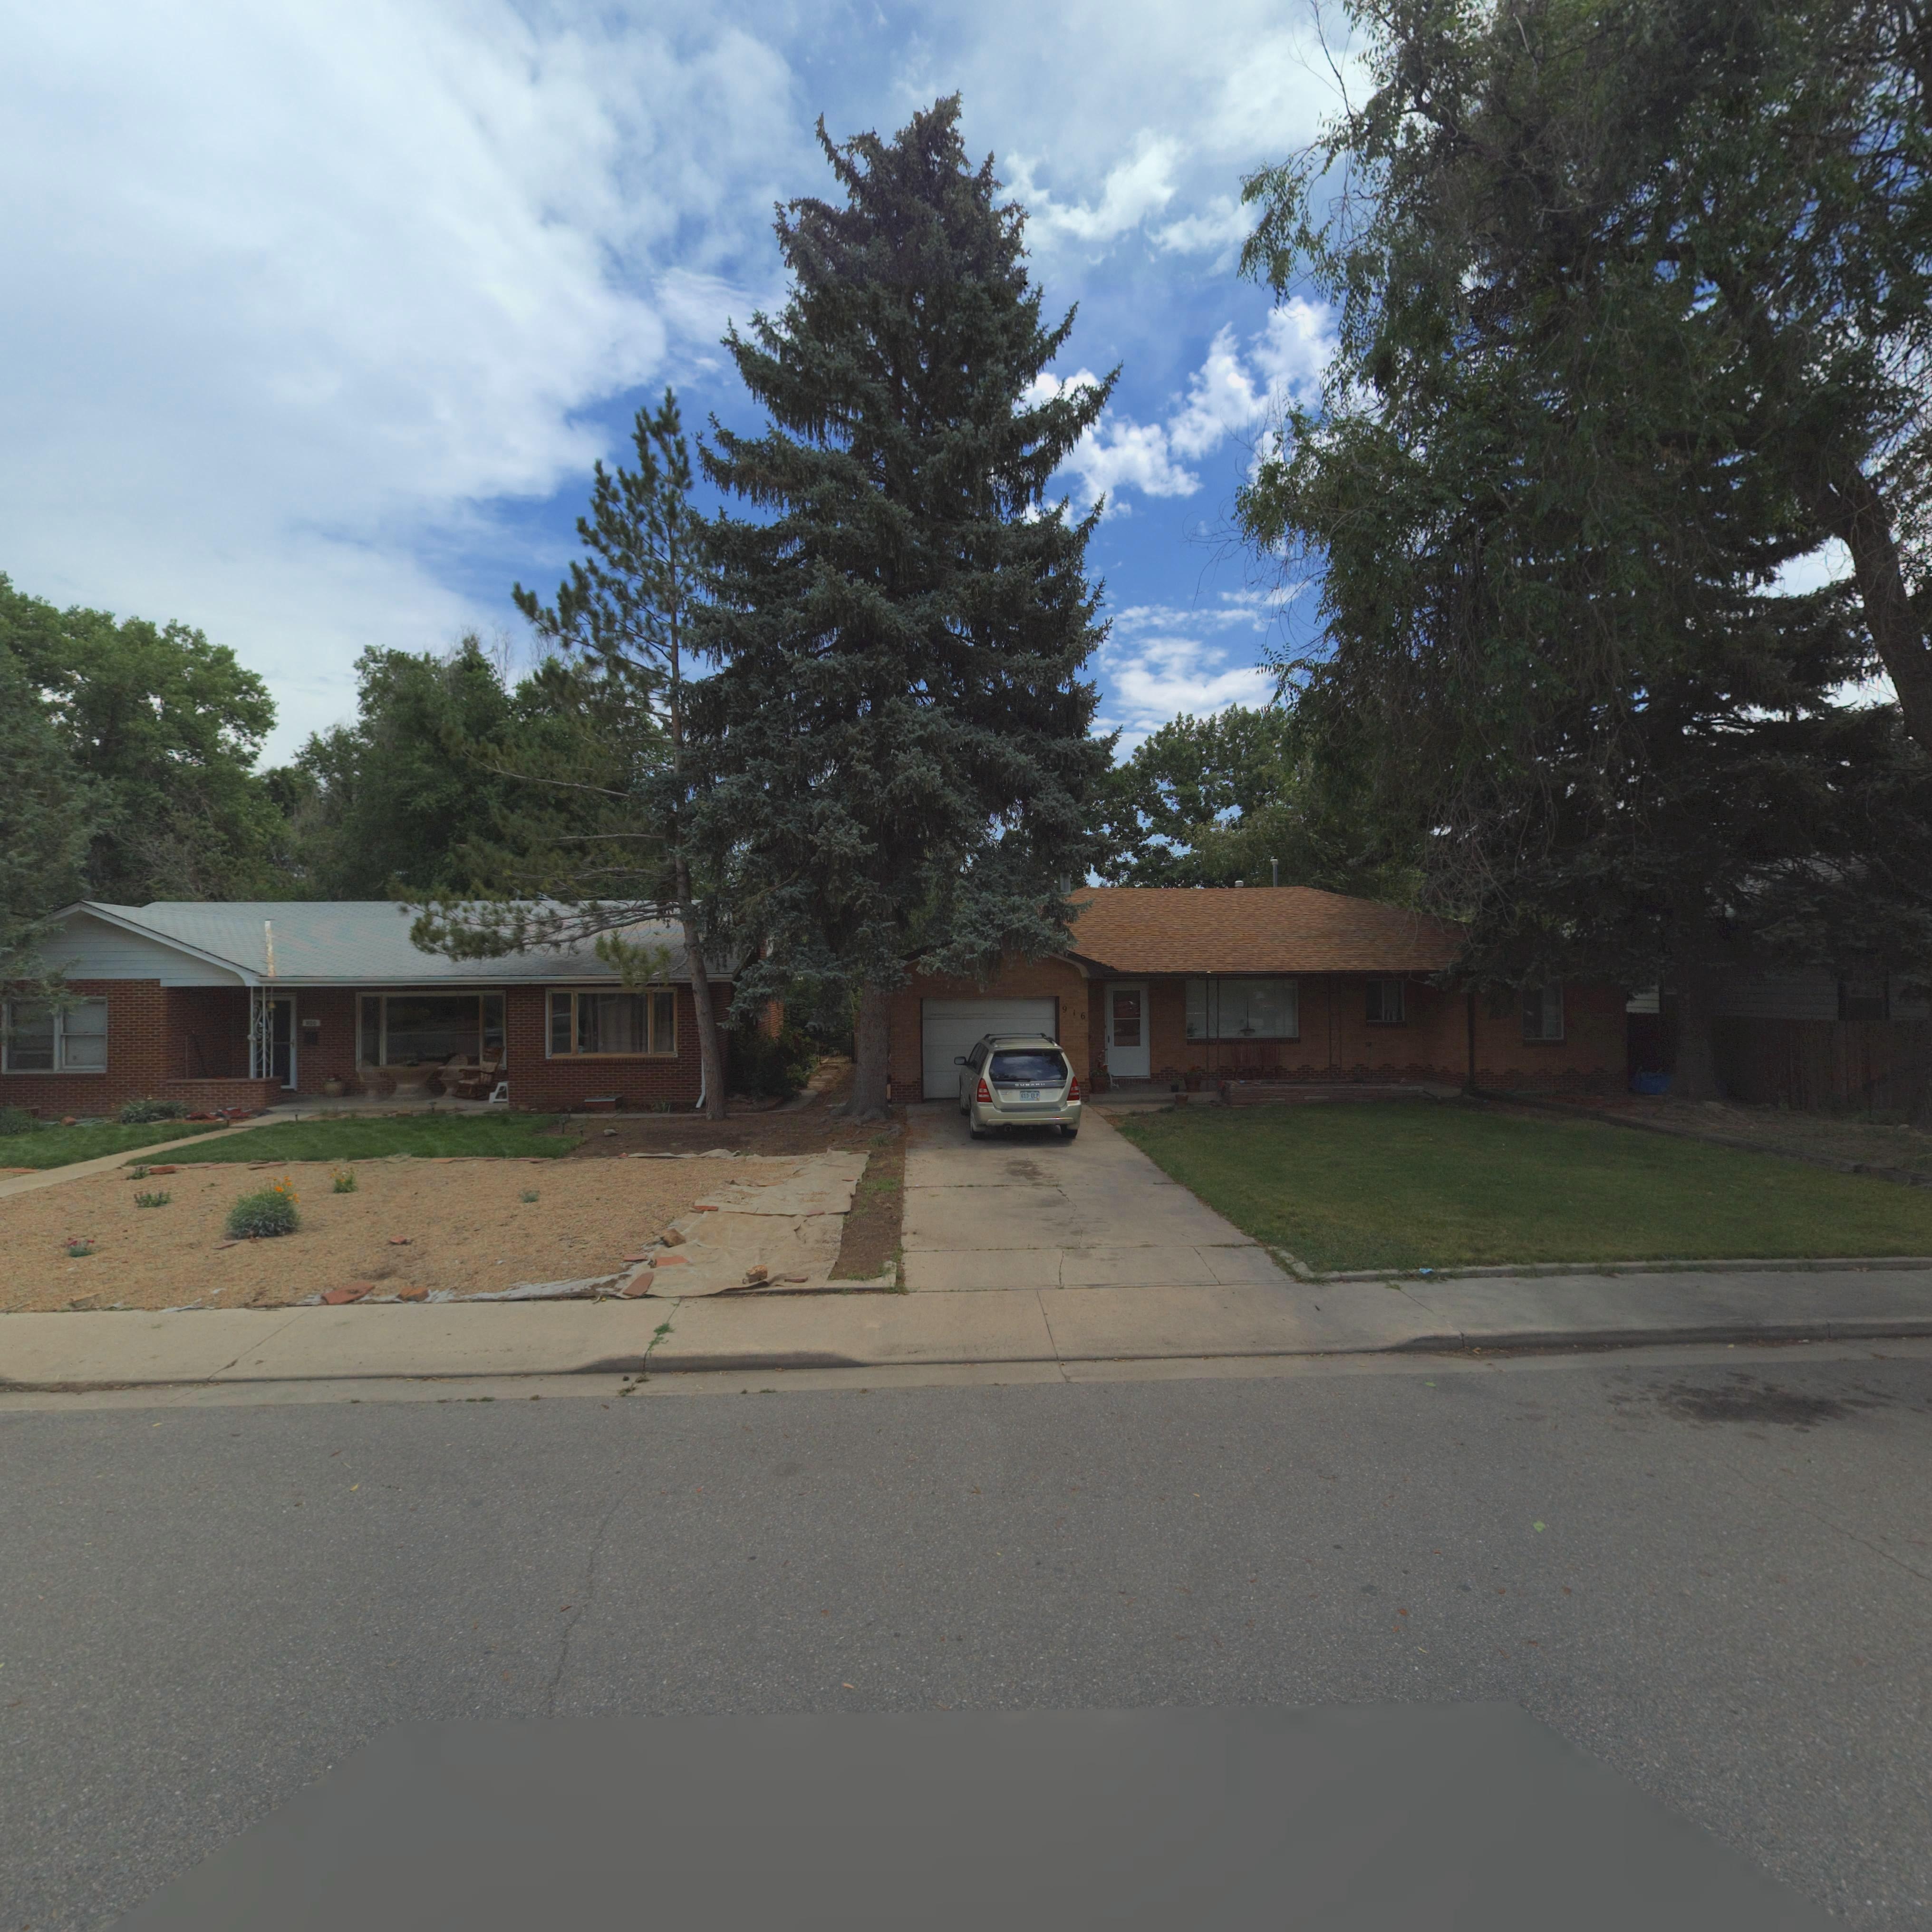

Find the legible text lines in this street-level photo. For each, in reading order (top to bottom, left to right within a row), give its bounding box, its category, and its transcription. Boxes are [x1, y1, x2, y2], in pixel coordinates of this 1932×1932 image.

[1061, 1004, 1086, 1021] StreetNumber: 916
[306, 1020, 317, 1025] StreetNumber: *20